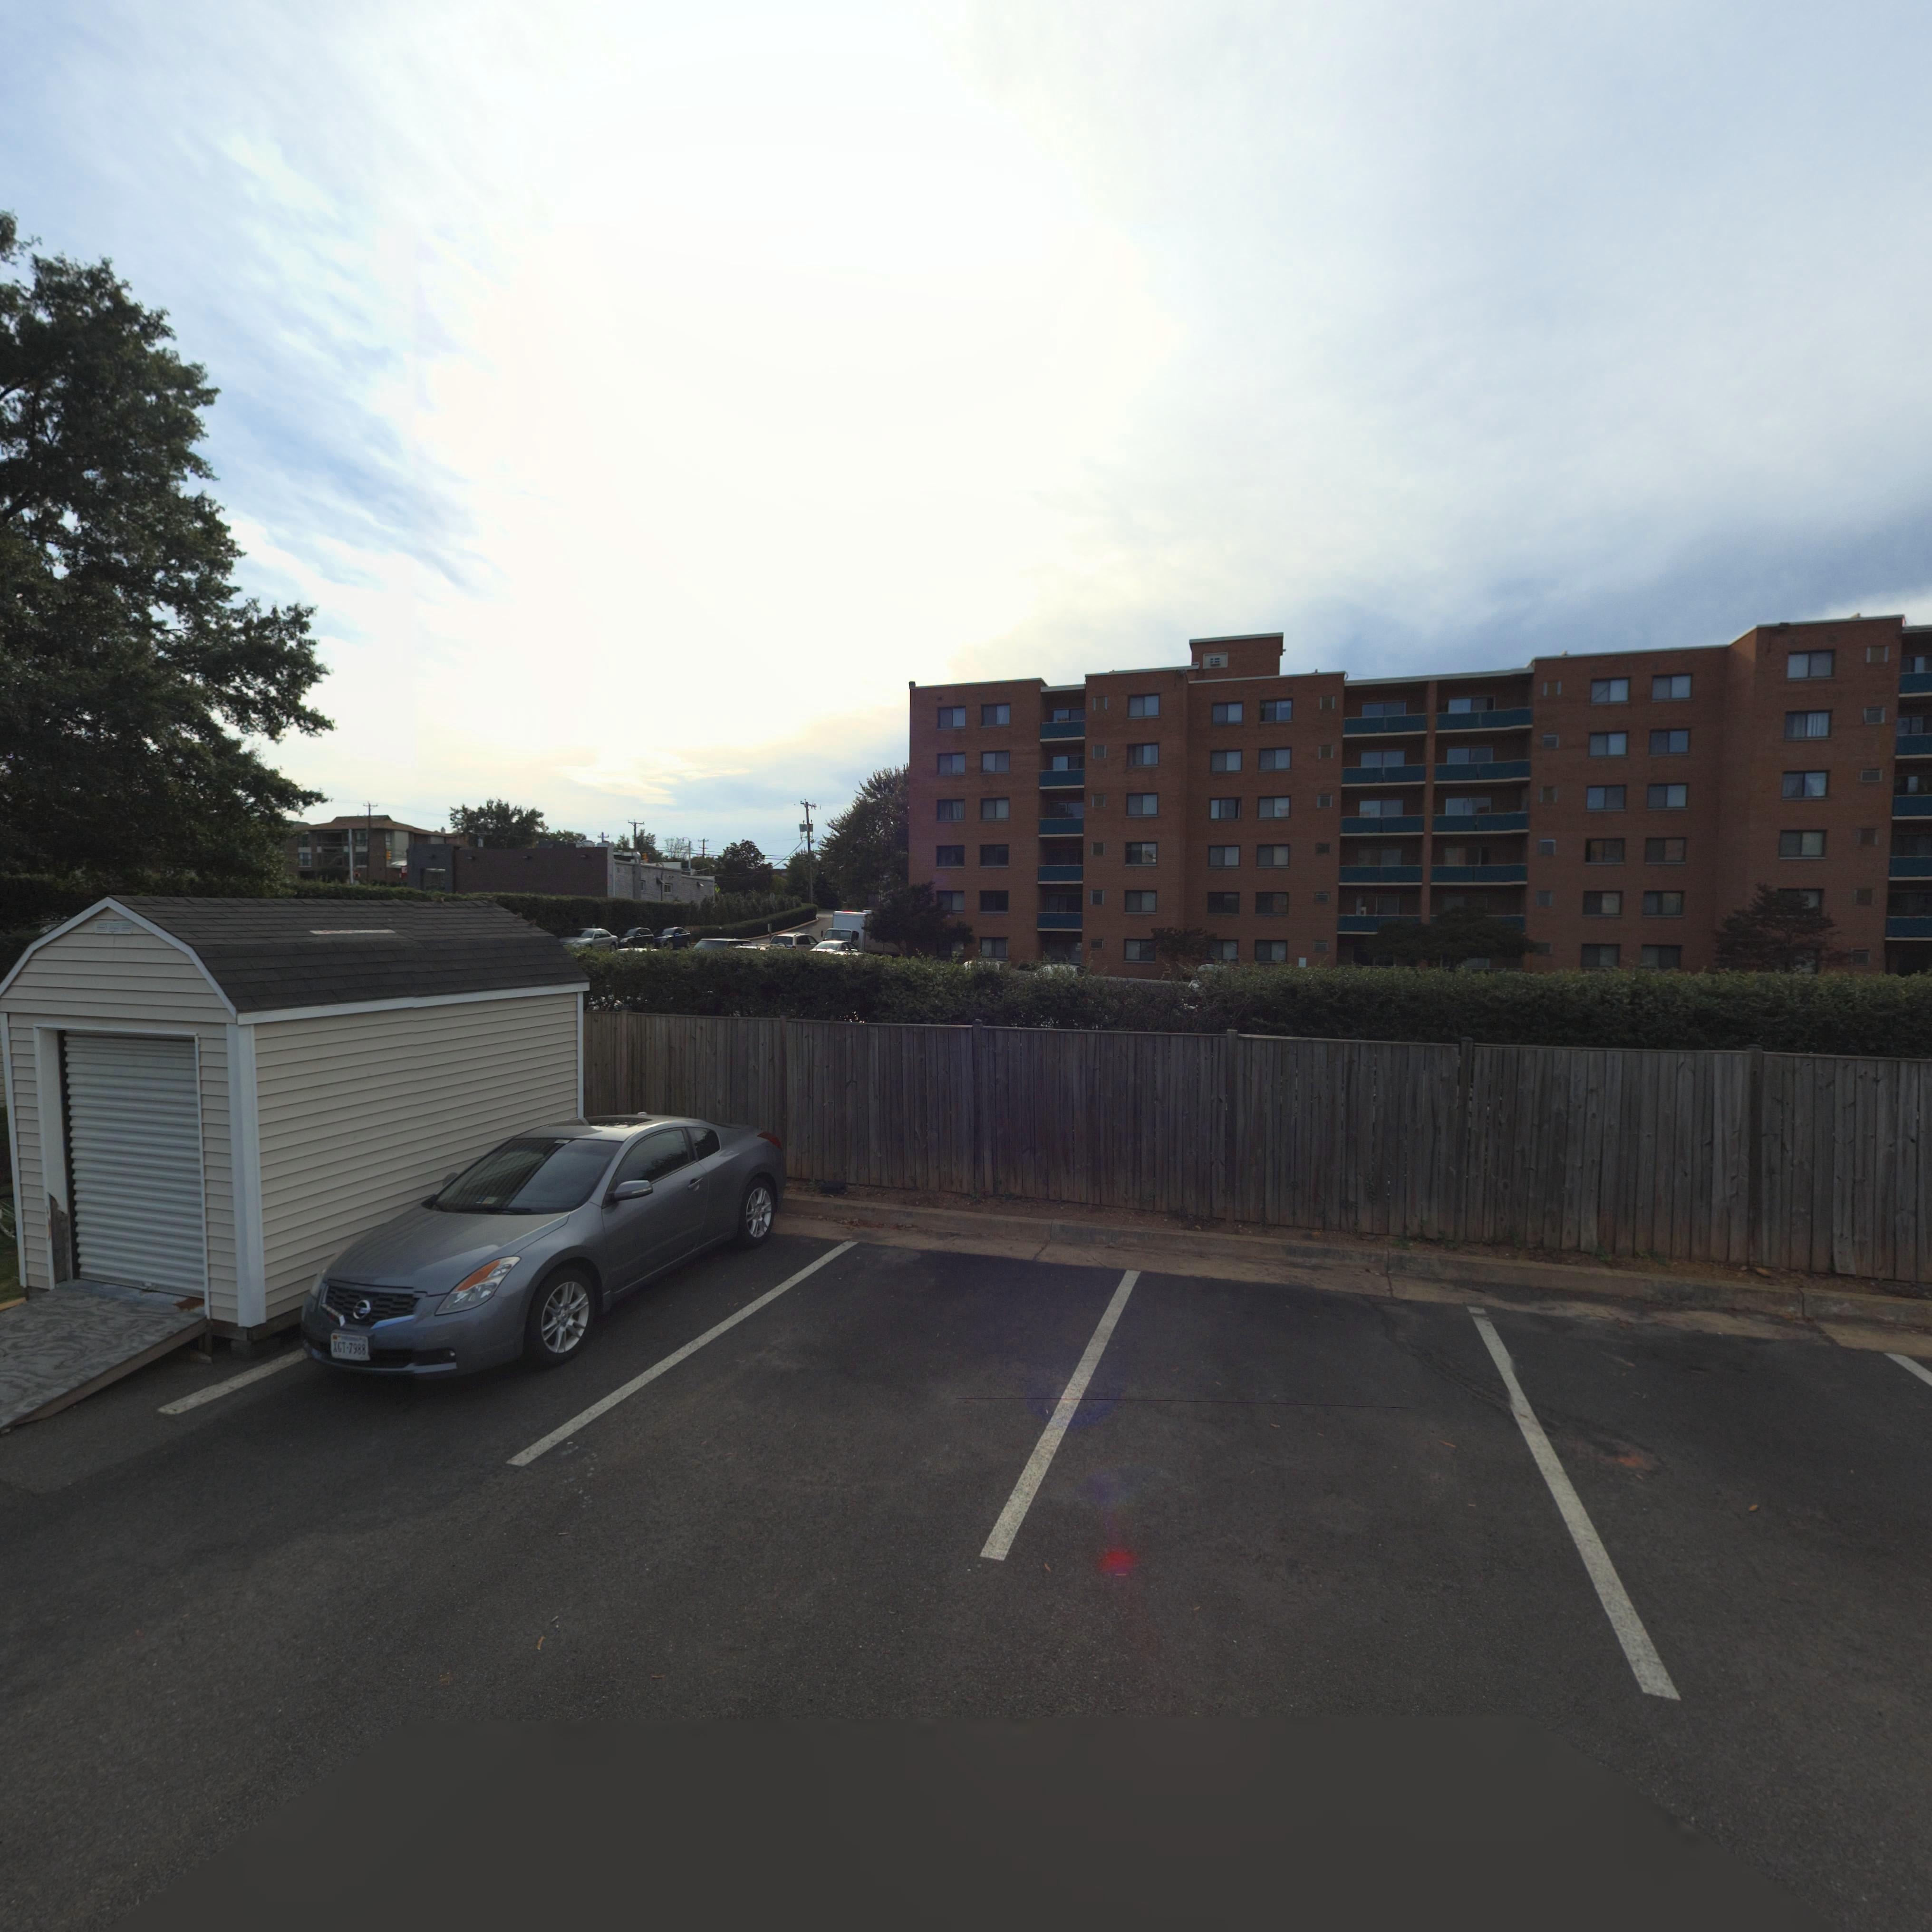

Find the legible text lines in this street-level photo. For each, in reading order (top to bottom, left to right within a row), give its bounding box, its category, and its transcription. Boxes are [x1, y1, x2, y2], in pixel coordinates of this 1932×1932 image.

[332, 1339, 367, 1356] None: XGT-7988